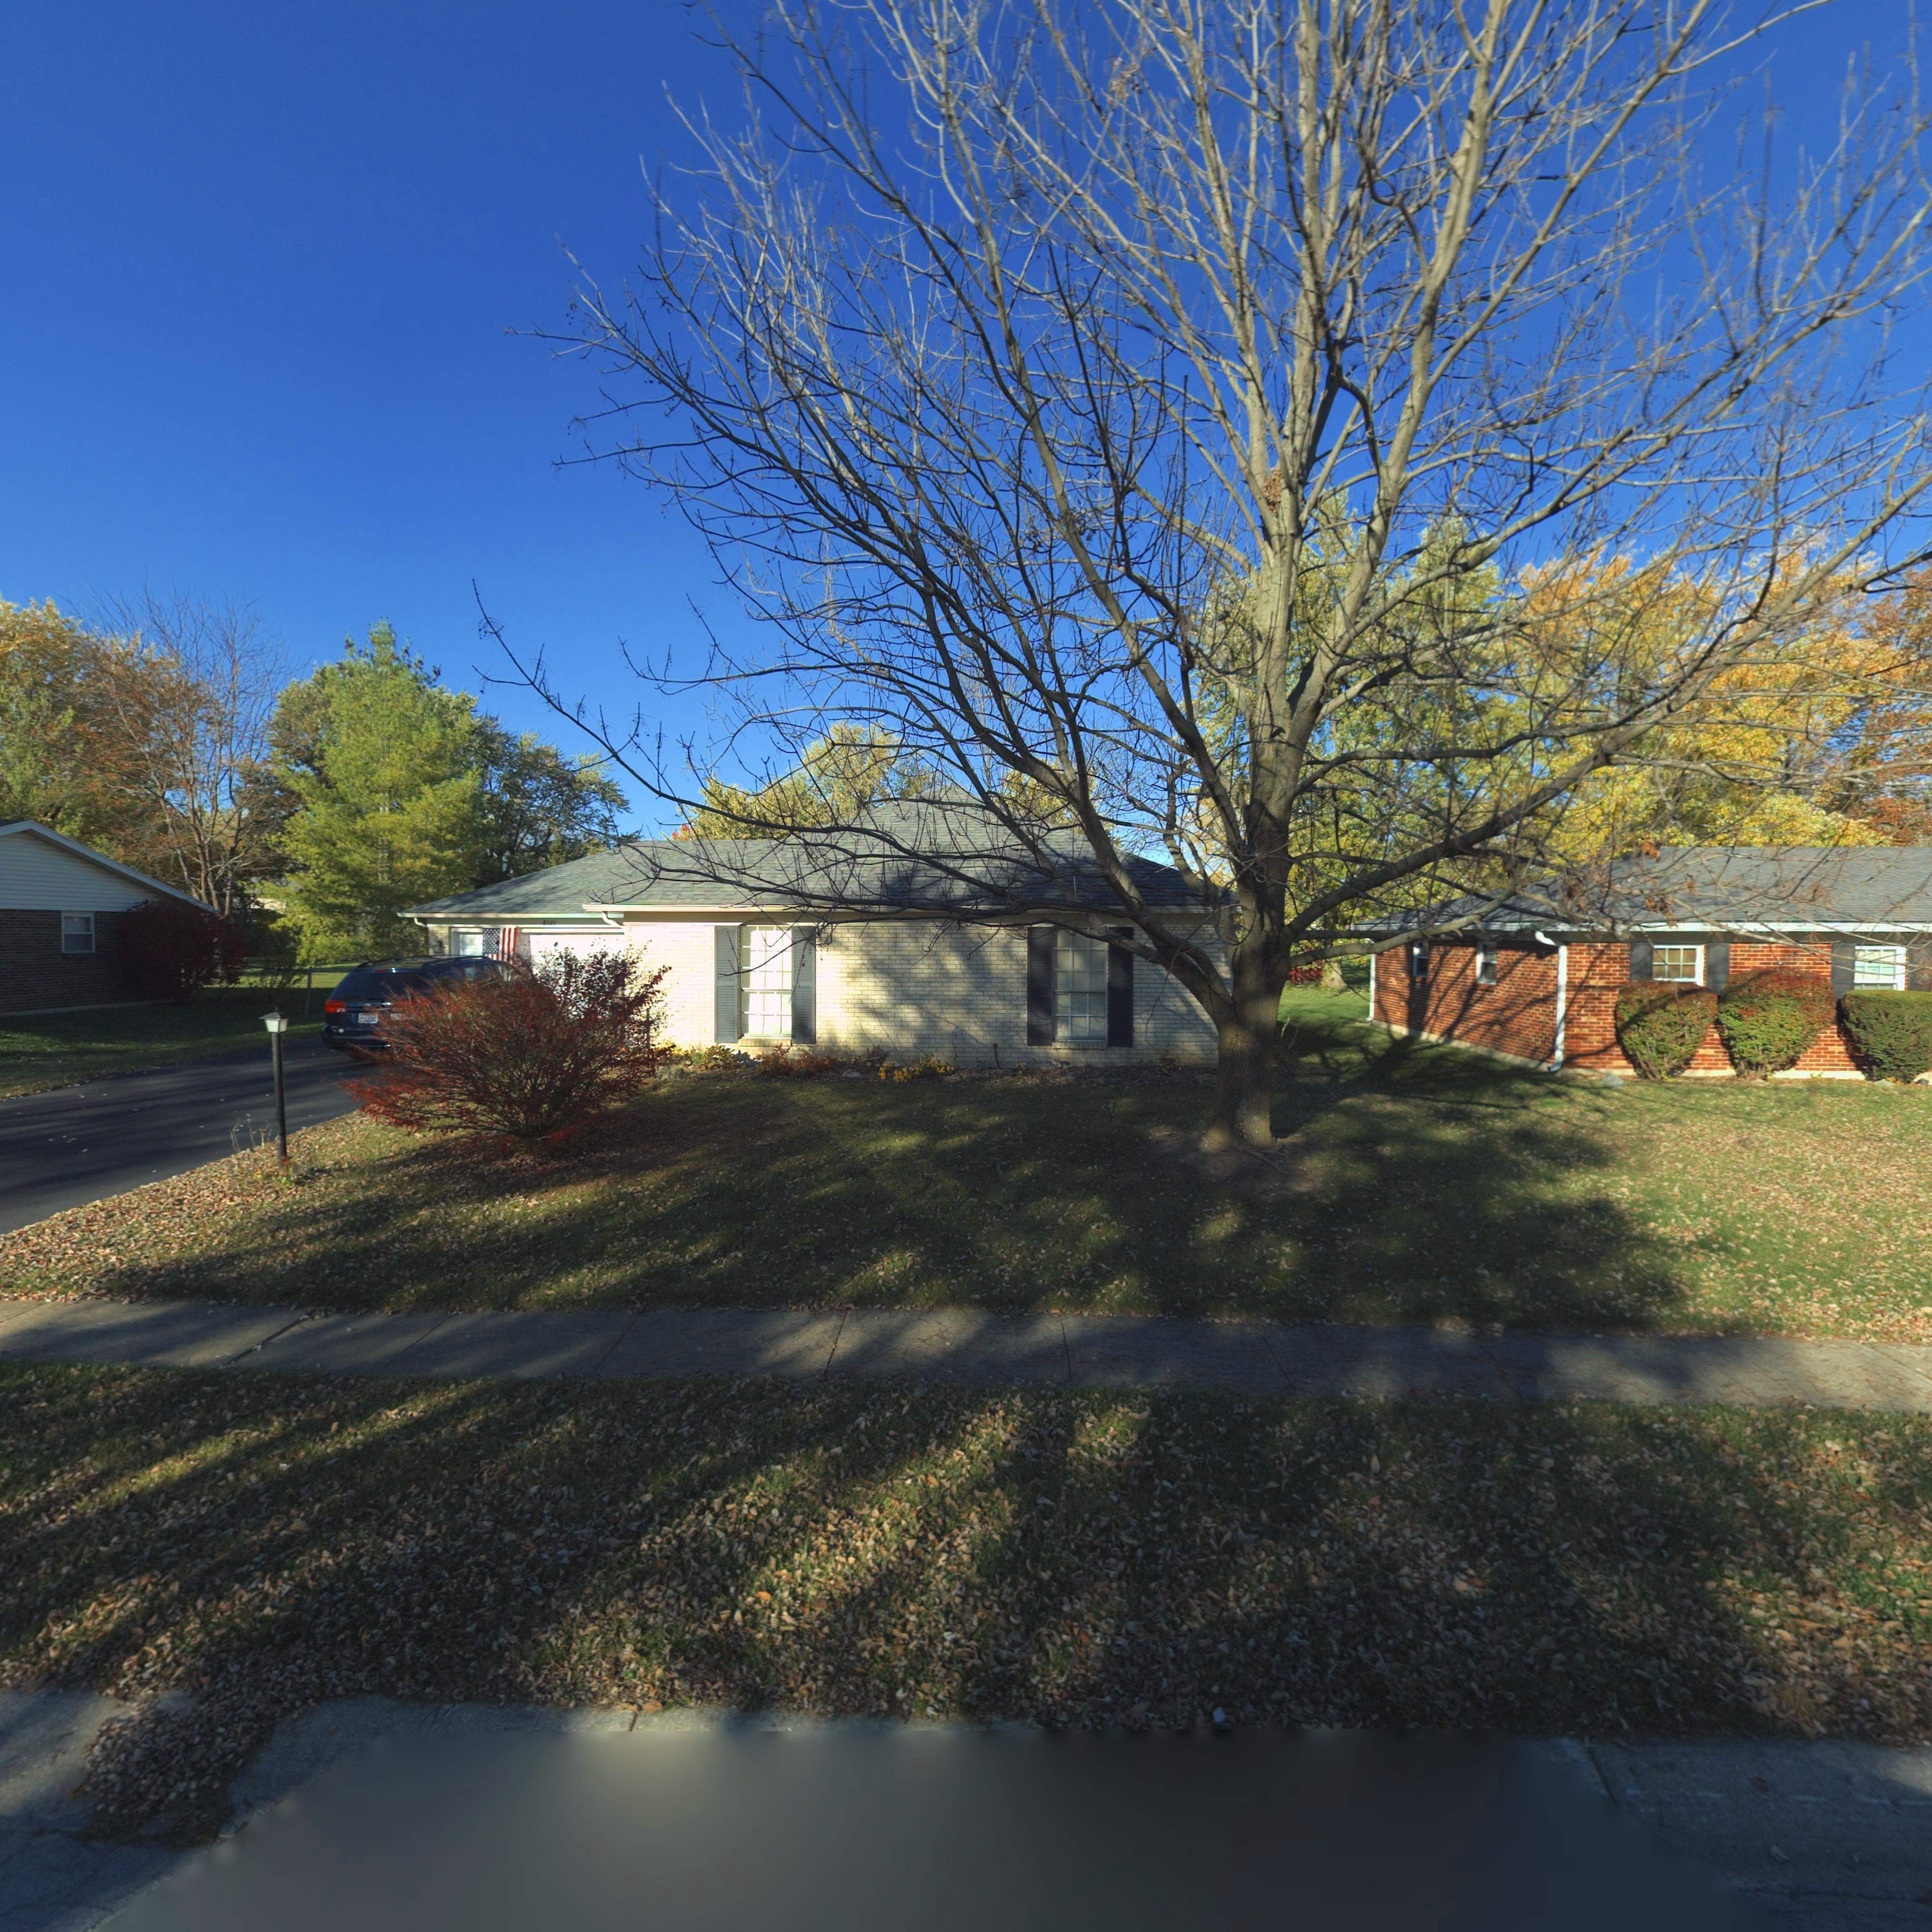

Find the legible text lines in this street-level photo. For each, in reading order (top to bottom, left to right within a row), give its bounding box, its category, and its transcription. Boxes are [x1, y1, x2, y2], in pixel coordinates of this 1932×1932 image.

[542, 920, 556, 926] StreetNumber: 5111